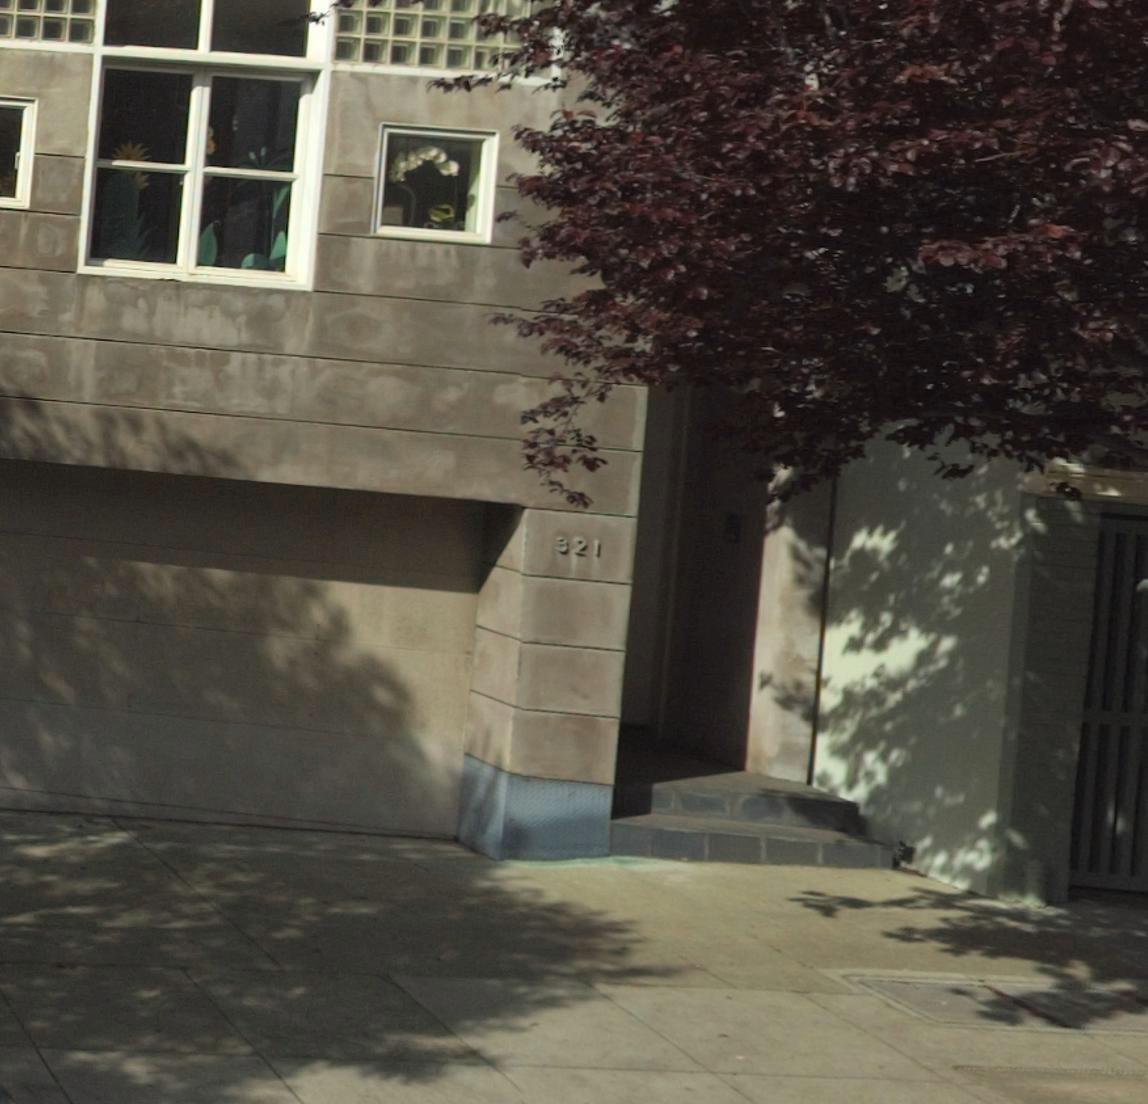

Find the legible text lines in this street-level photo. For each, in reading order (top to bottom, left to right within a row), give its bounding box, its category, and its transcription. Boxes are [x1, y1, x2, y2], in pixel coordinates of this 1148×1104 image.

[552, 533, 604, 561] StreetNumber: 321